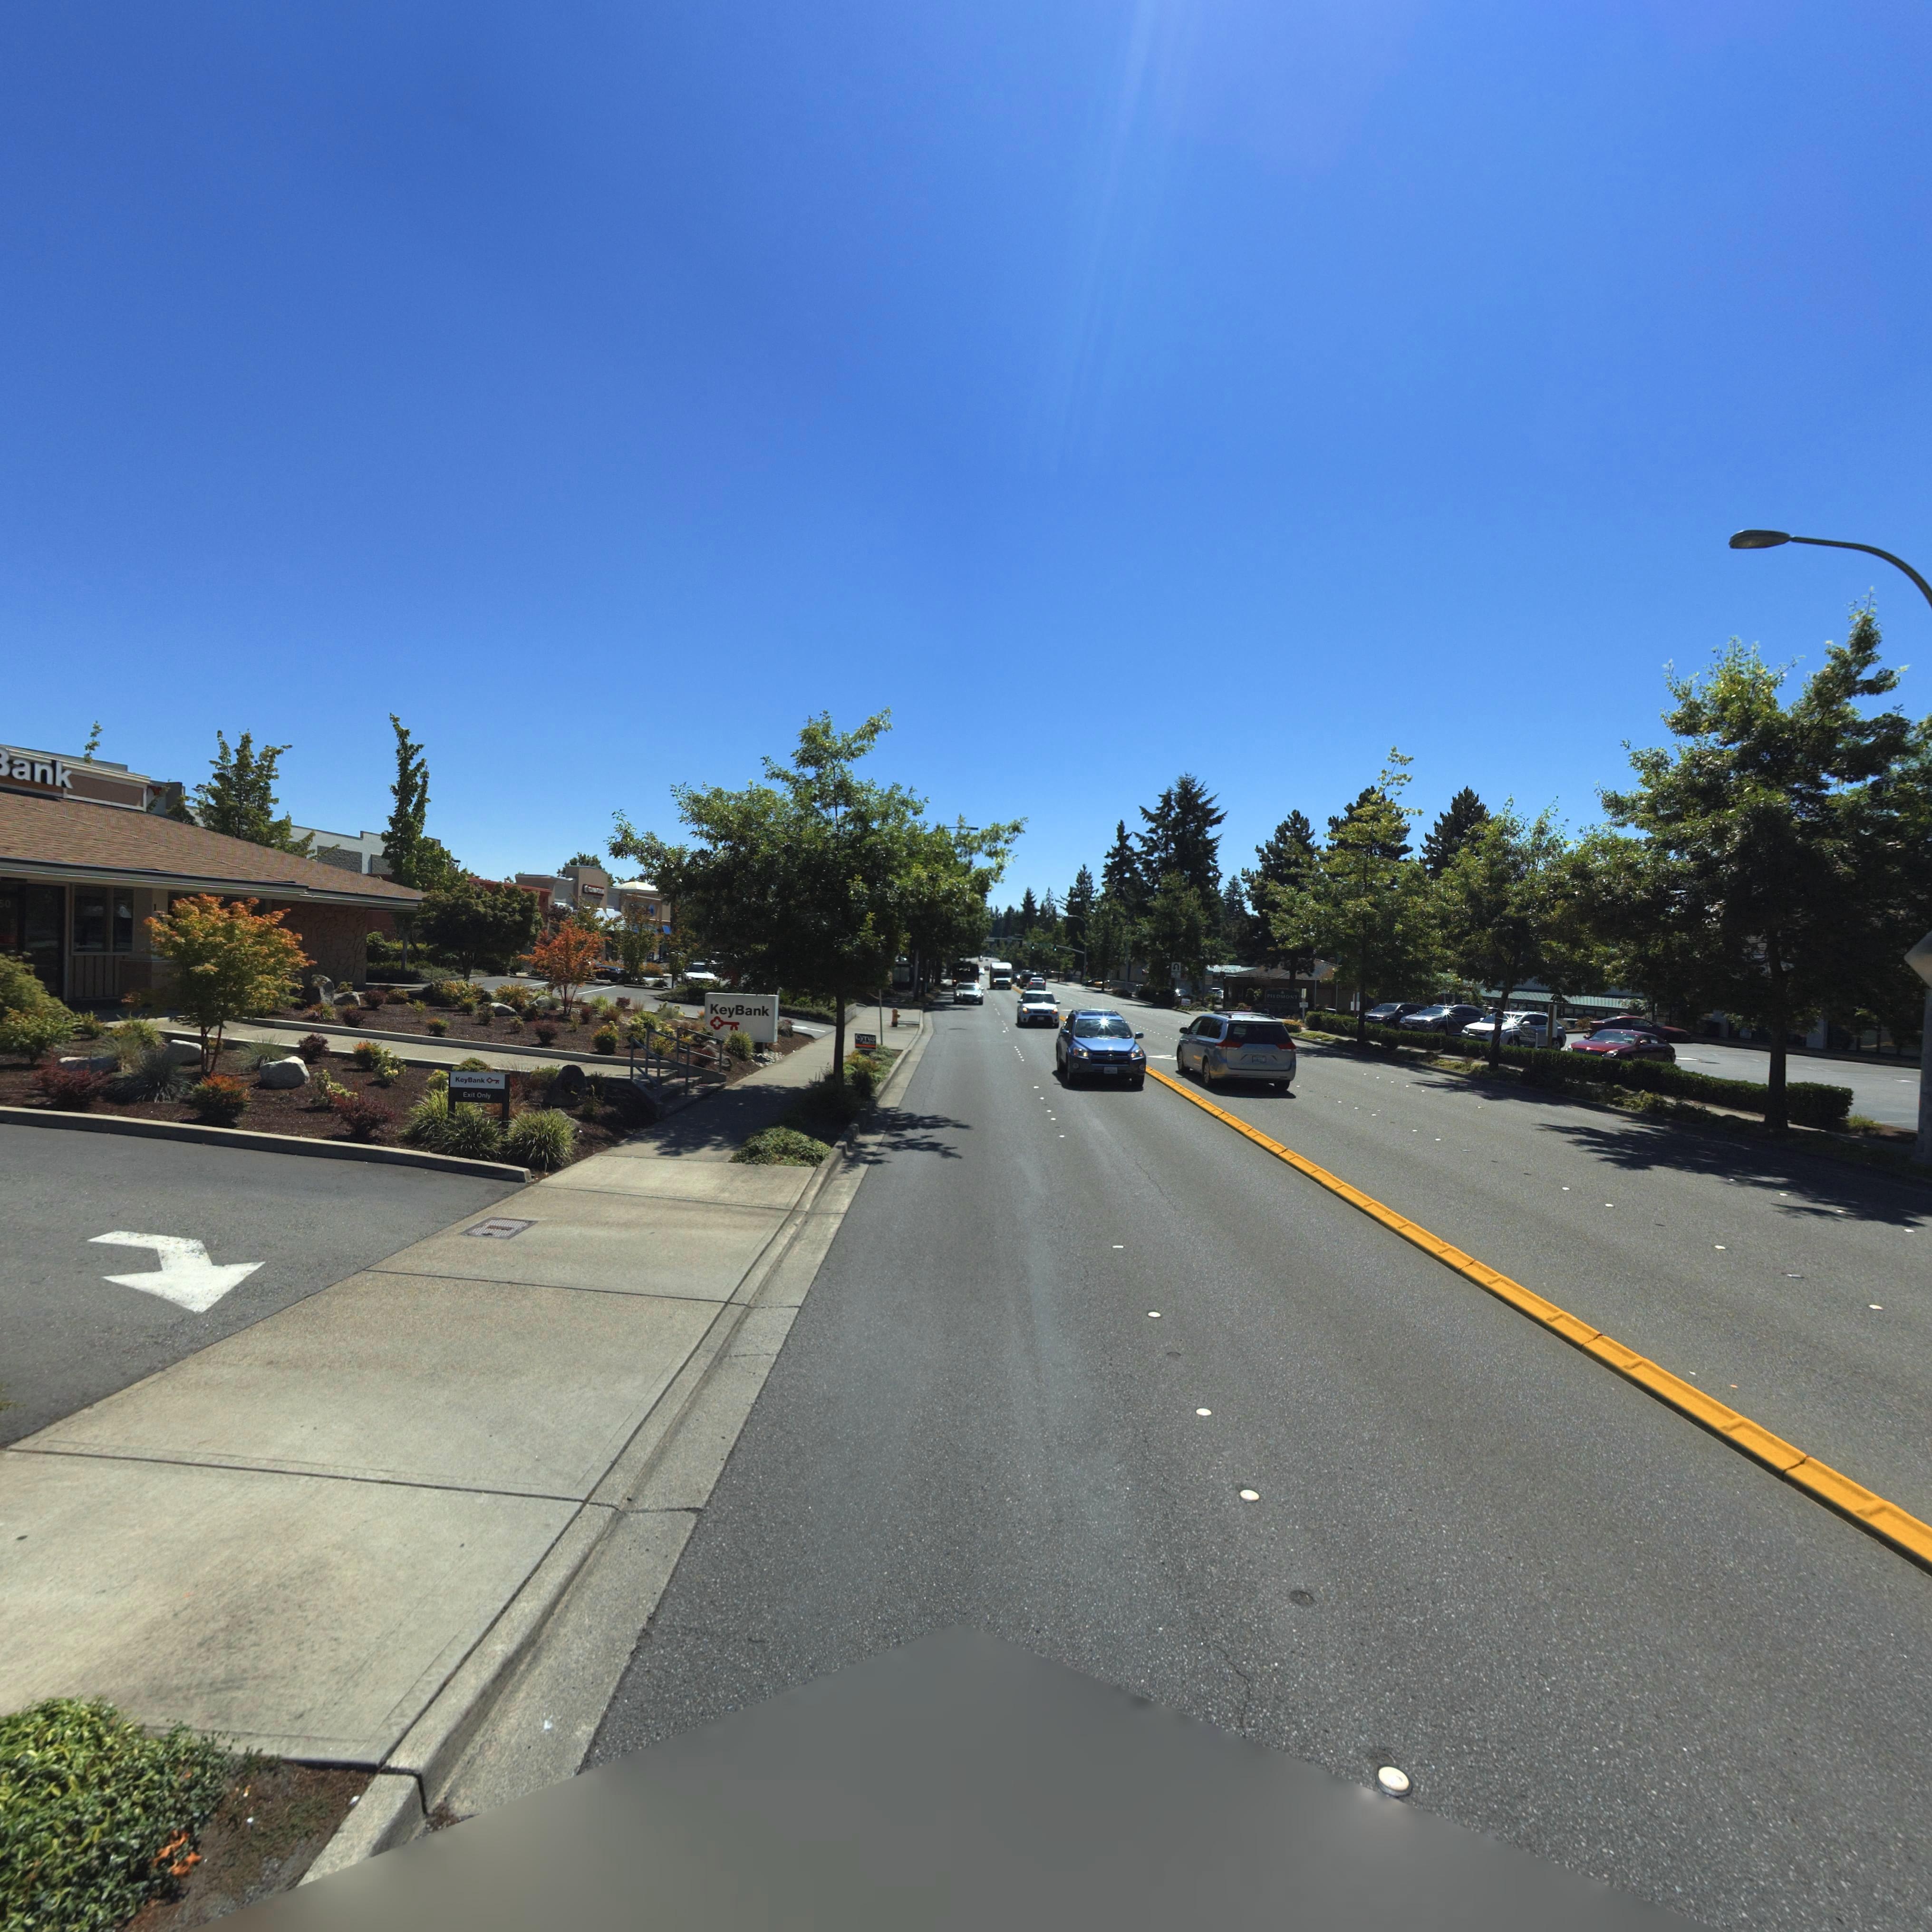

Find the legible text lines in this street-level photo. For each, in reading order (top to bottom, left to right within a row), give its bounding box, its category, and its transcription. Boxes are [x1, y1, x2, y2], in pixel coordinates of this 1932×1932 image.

[10, 758, 73, 790] BusinessName: ank
[710, 1004, 769, 1017] BusinessName: KeyBank
[455, 1076, 485, 1083] BusinessName: KeyBank